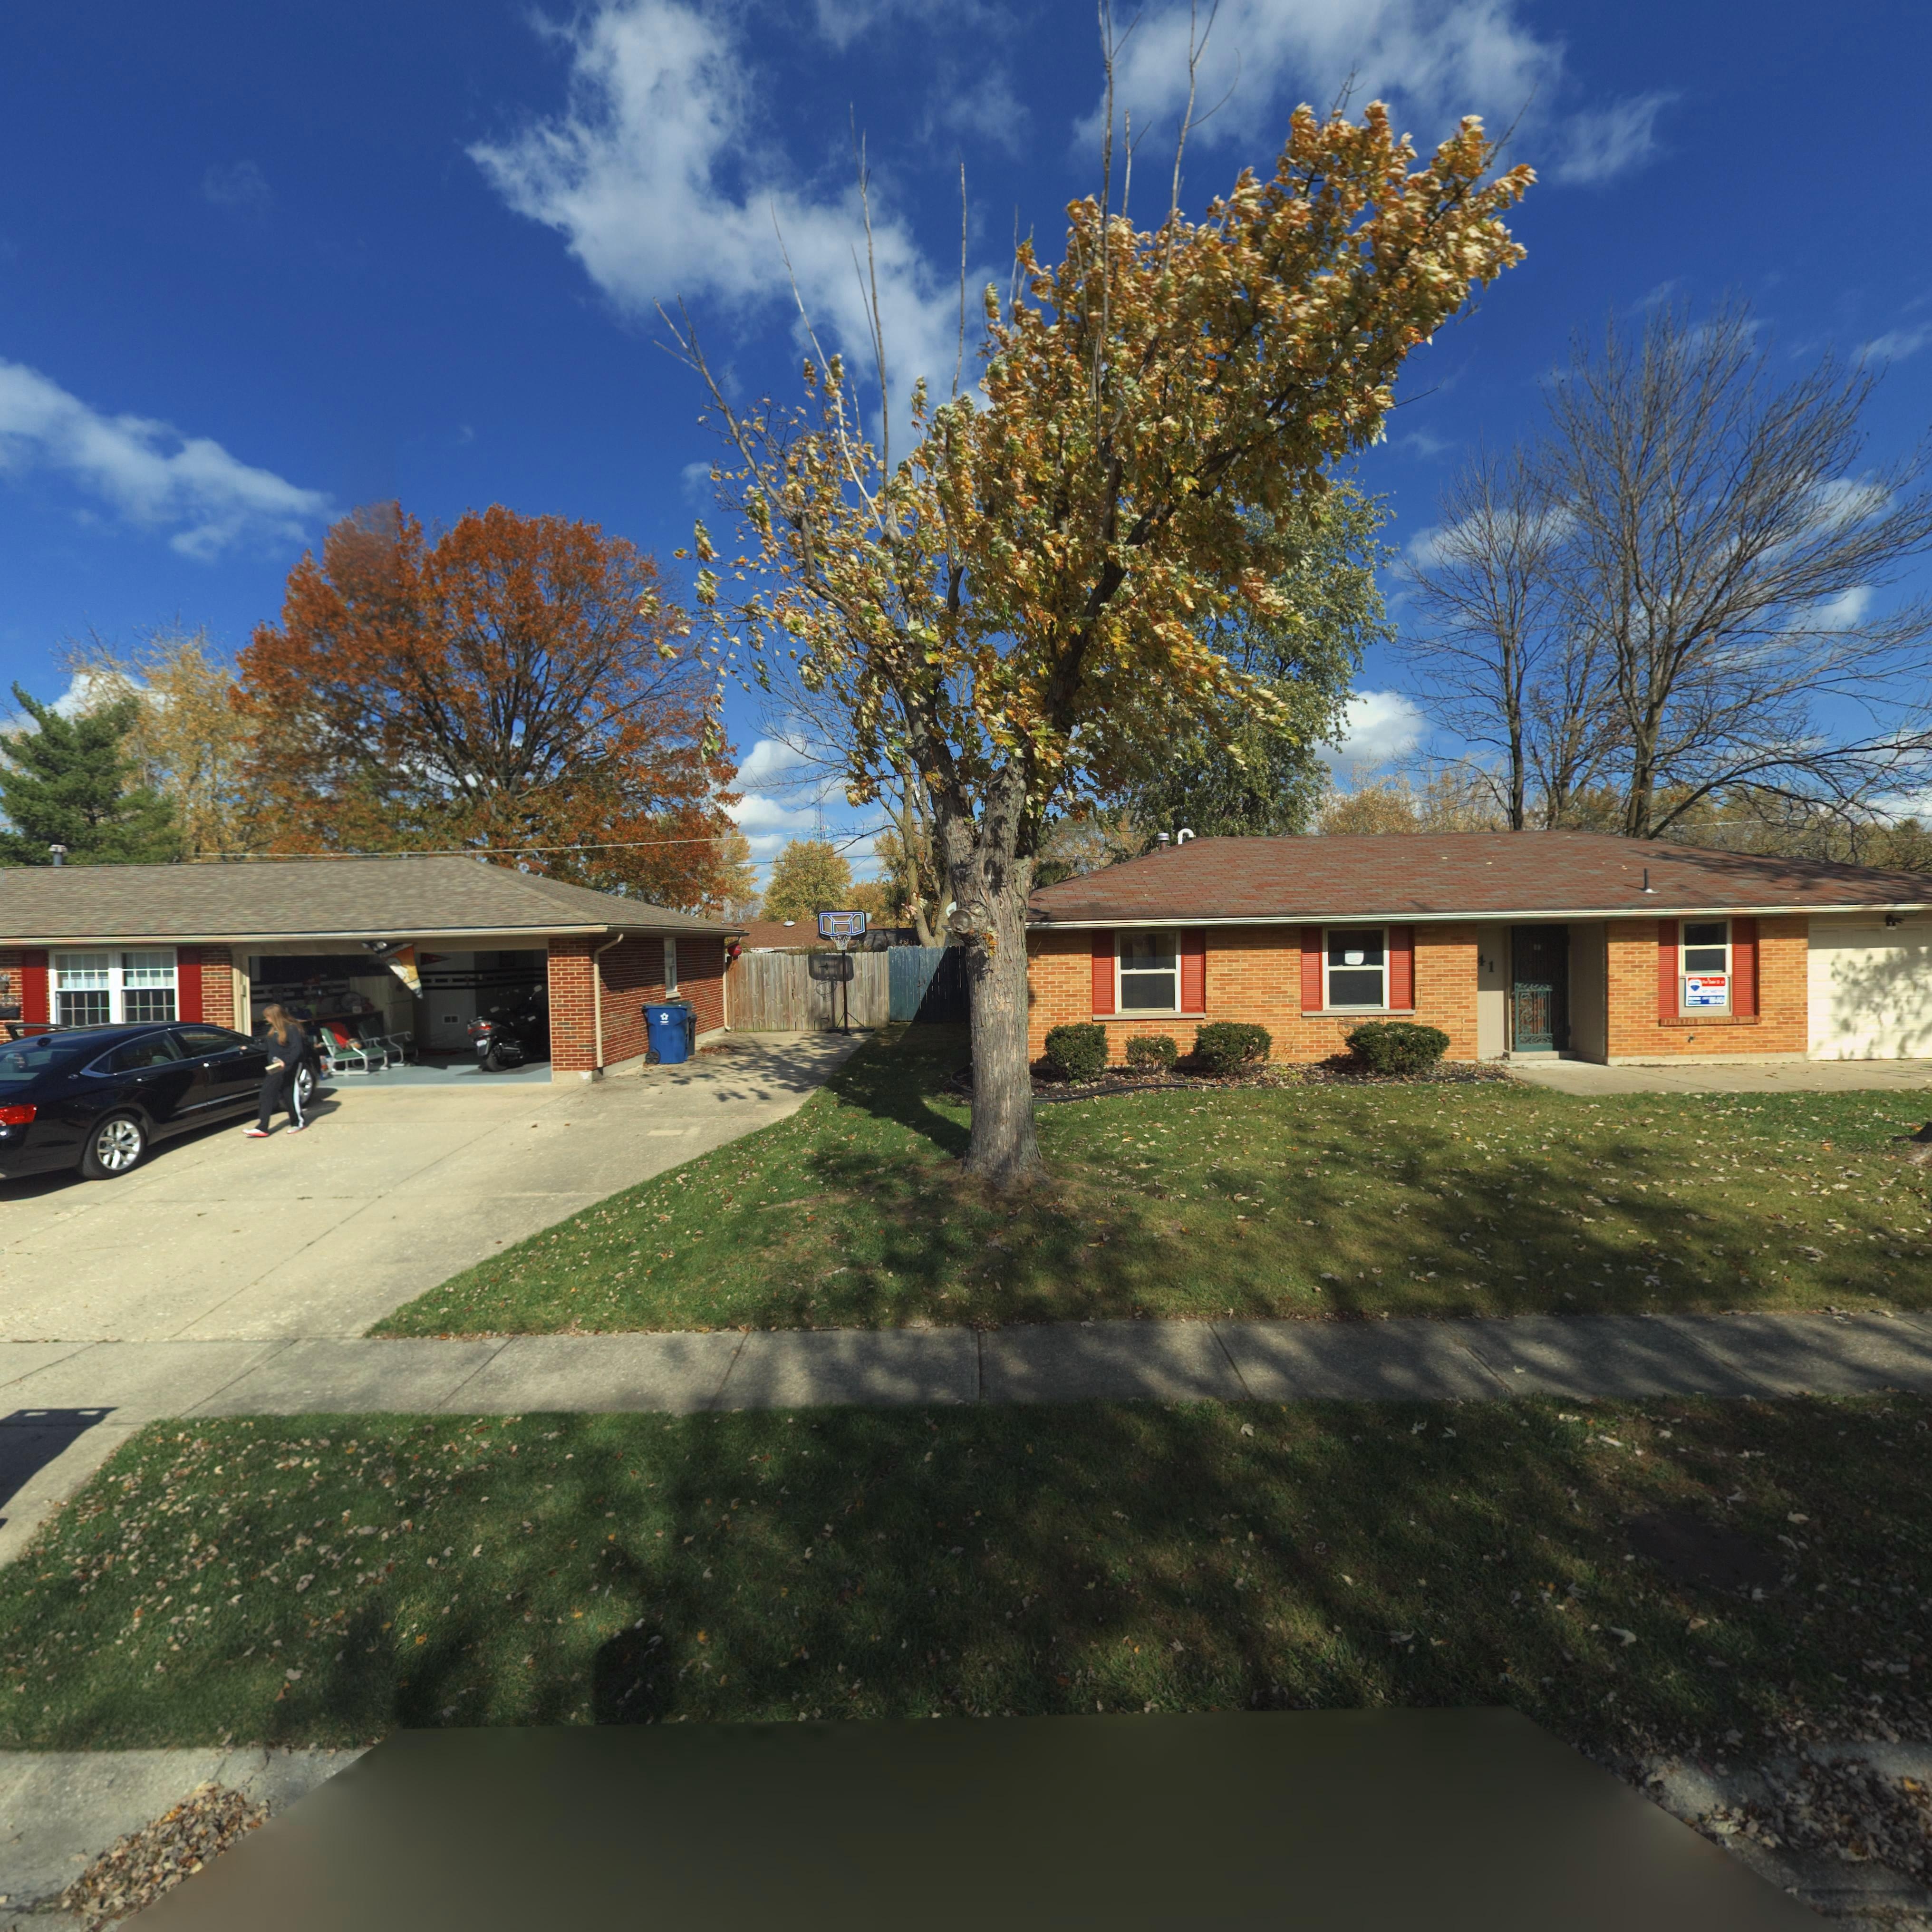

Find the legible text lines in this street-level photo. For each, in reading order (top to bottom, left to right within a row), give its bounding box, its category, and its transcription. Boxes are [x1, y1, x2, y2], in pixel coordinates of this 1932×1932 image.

[1488, 959, 1494, 973] StreetNumber: 1